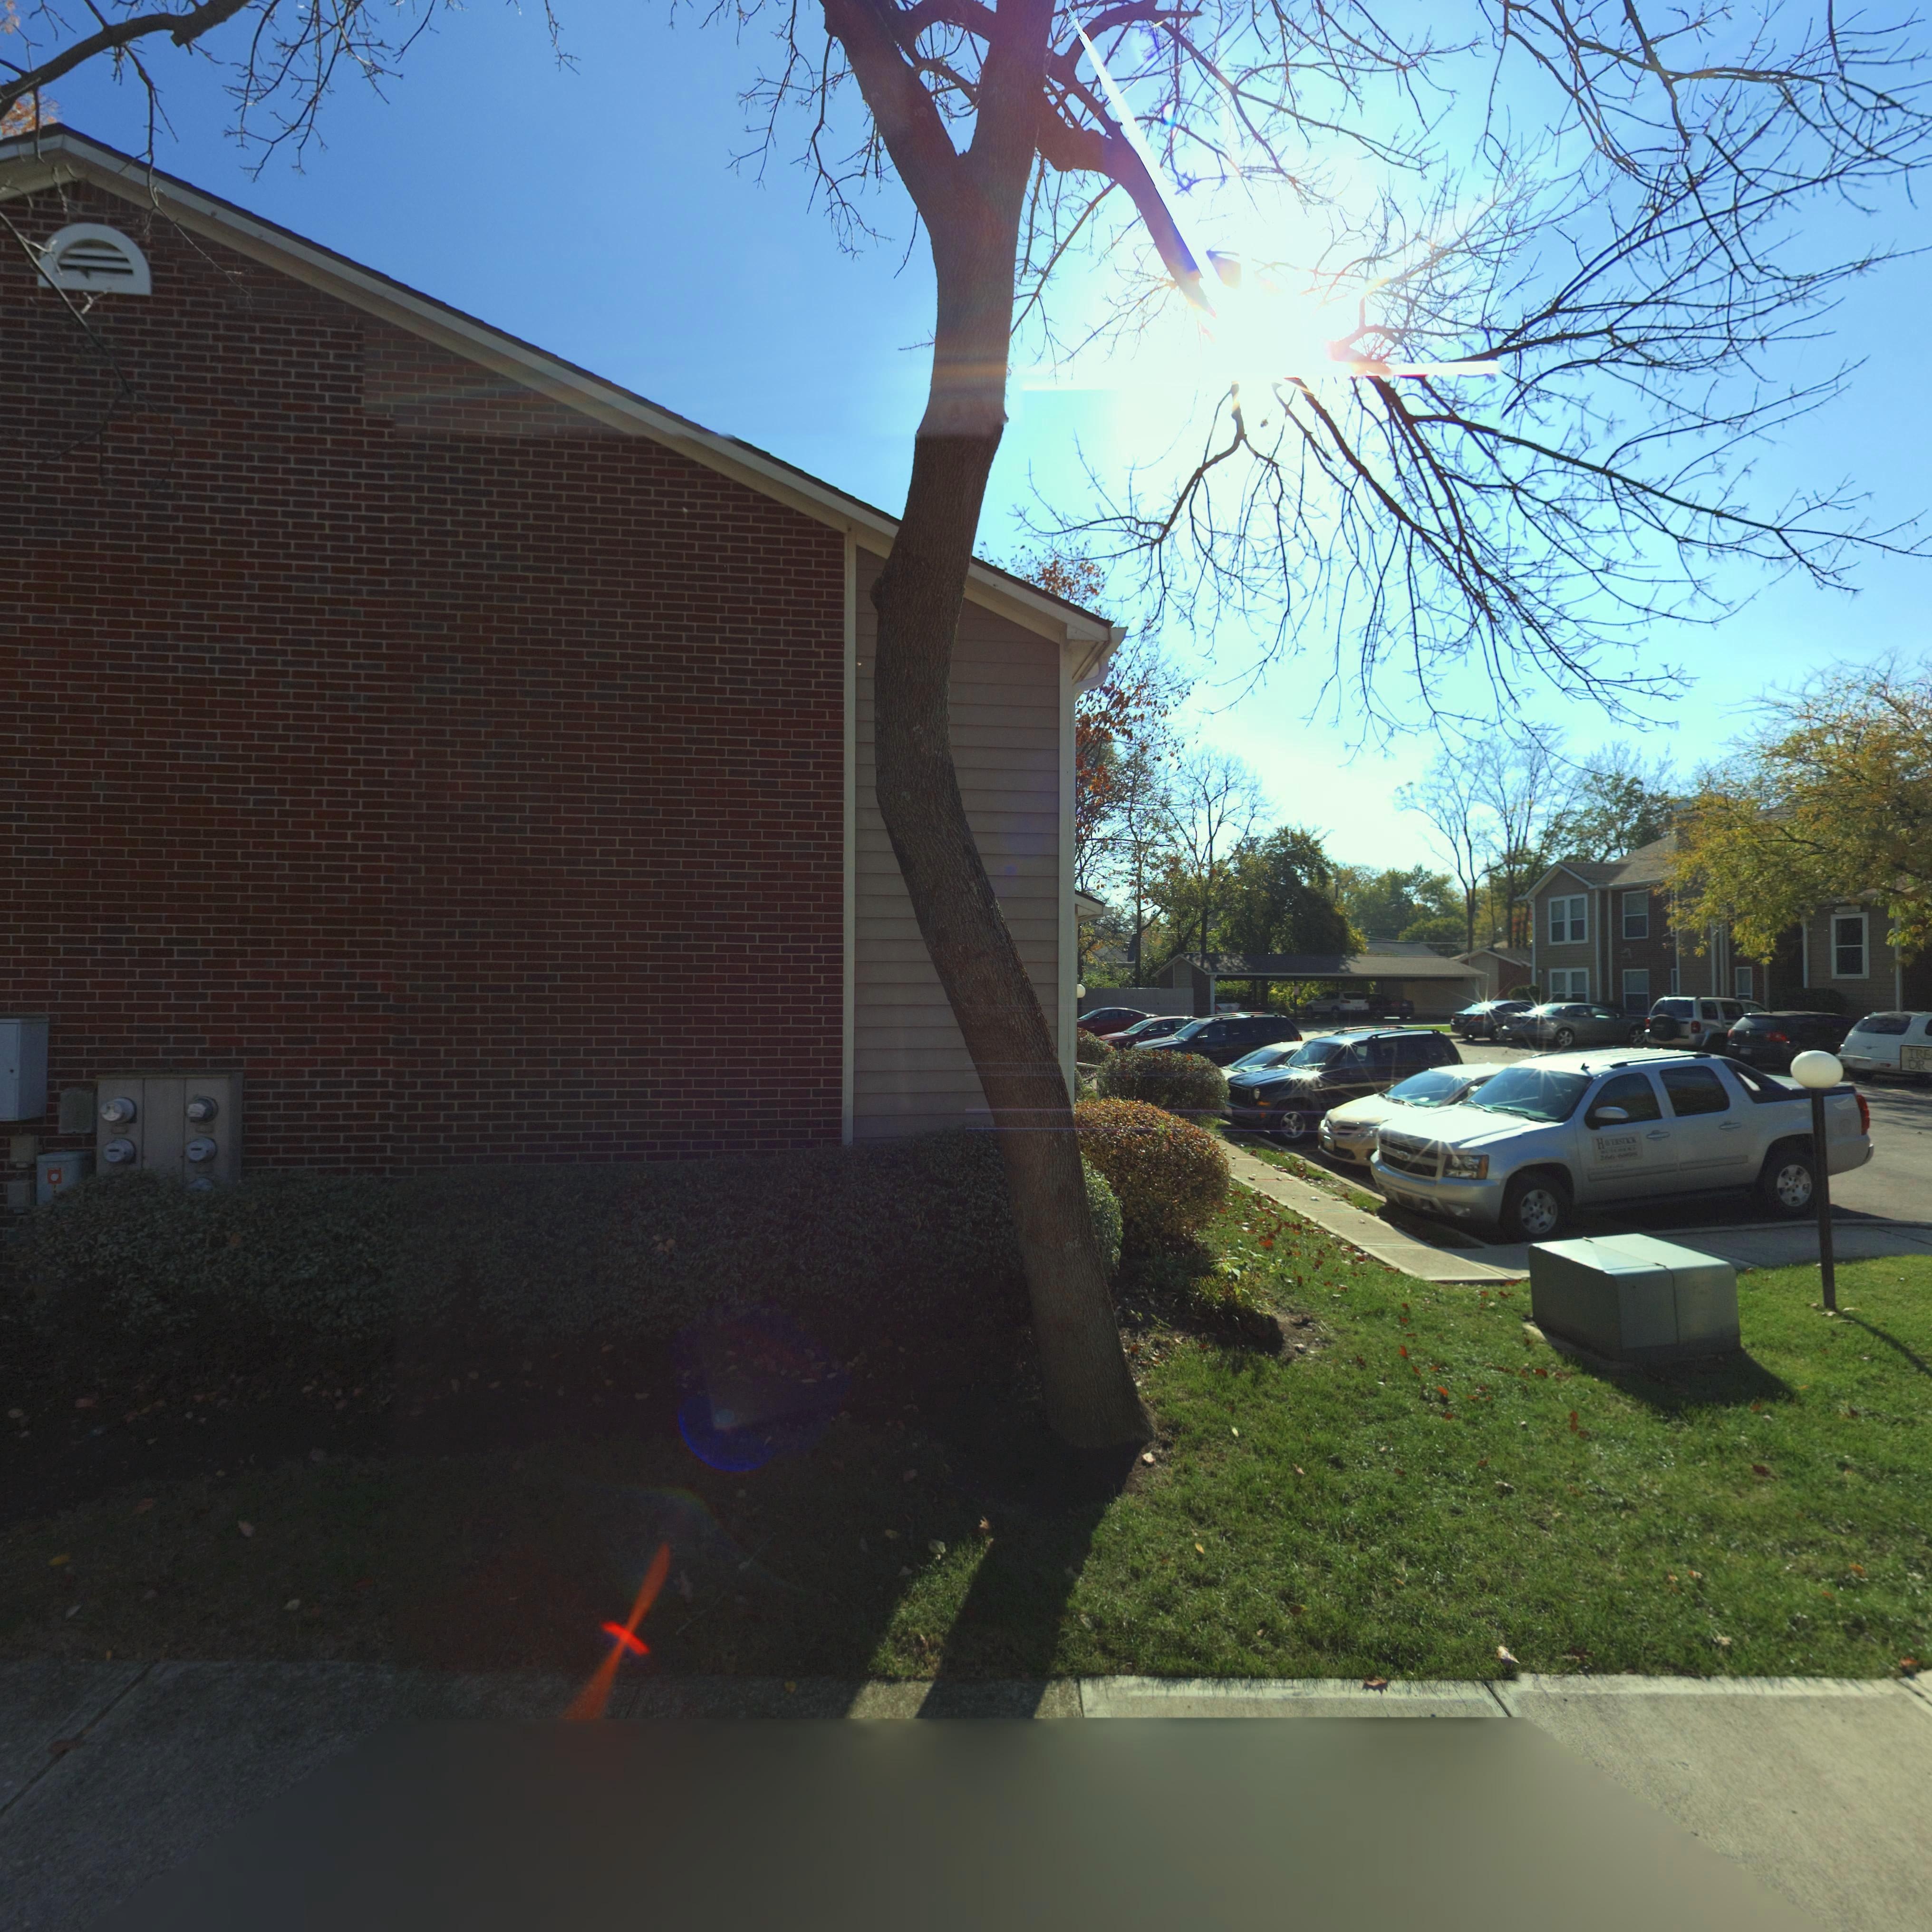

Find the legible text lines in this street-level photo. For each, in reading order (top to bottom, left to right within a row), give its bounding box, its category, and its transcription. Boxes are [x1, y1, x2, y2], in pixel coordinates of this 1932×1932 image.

[1595, 1136, 1637, 1150] None: H***RSTICK
[1599, 1150, 1639, 1162] None: 266-6898